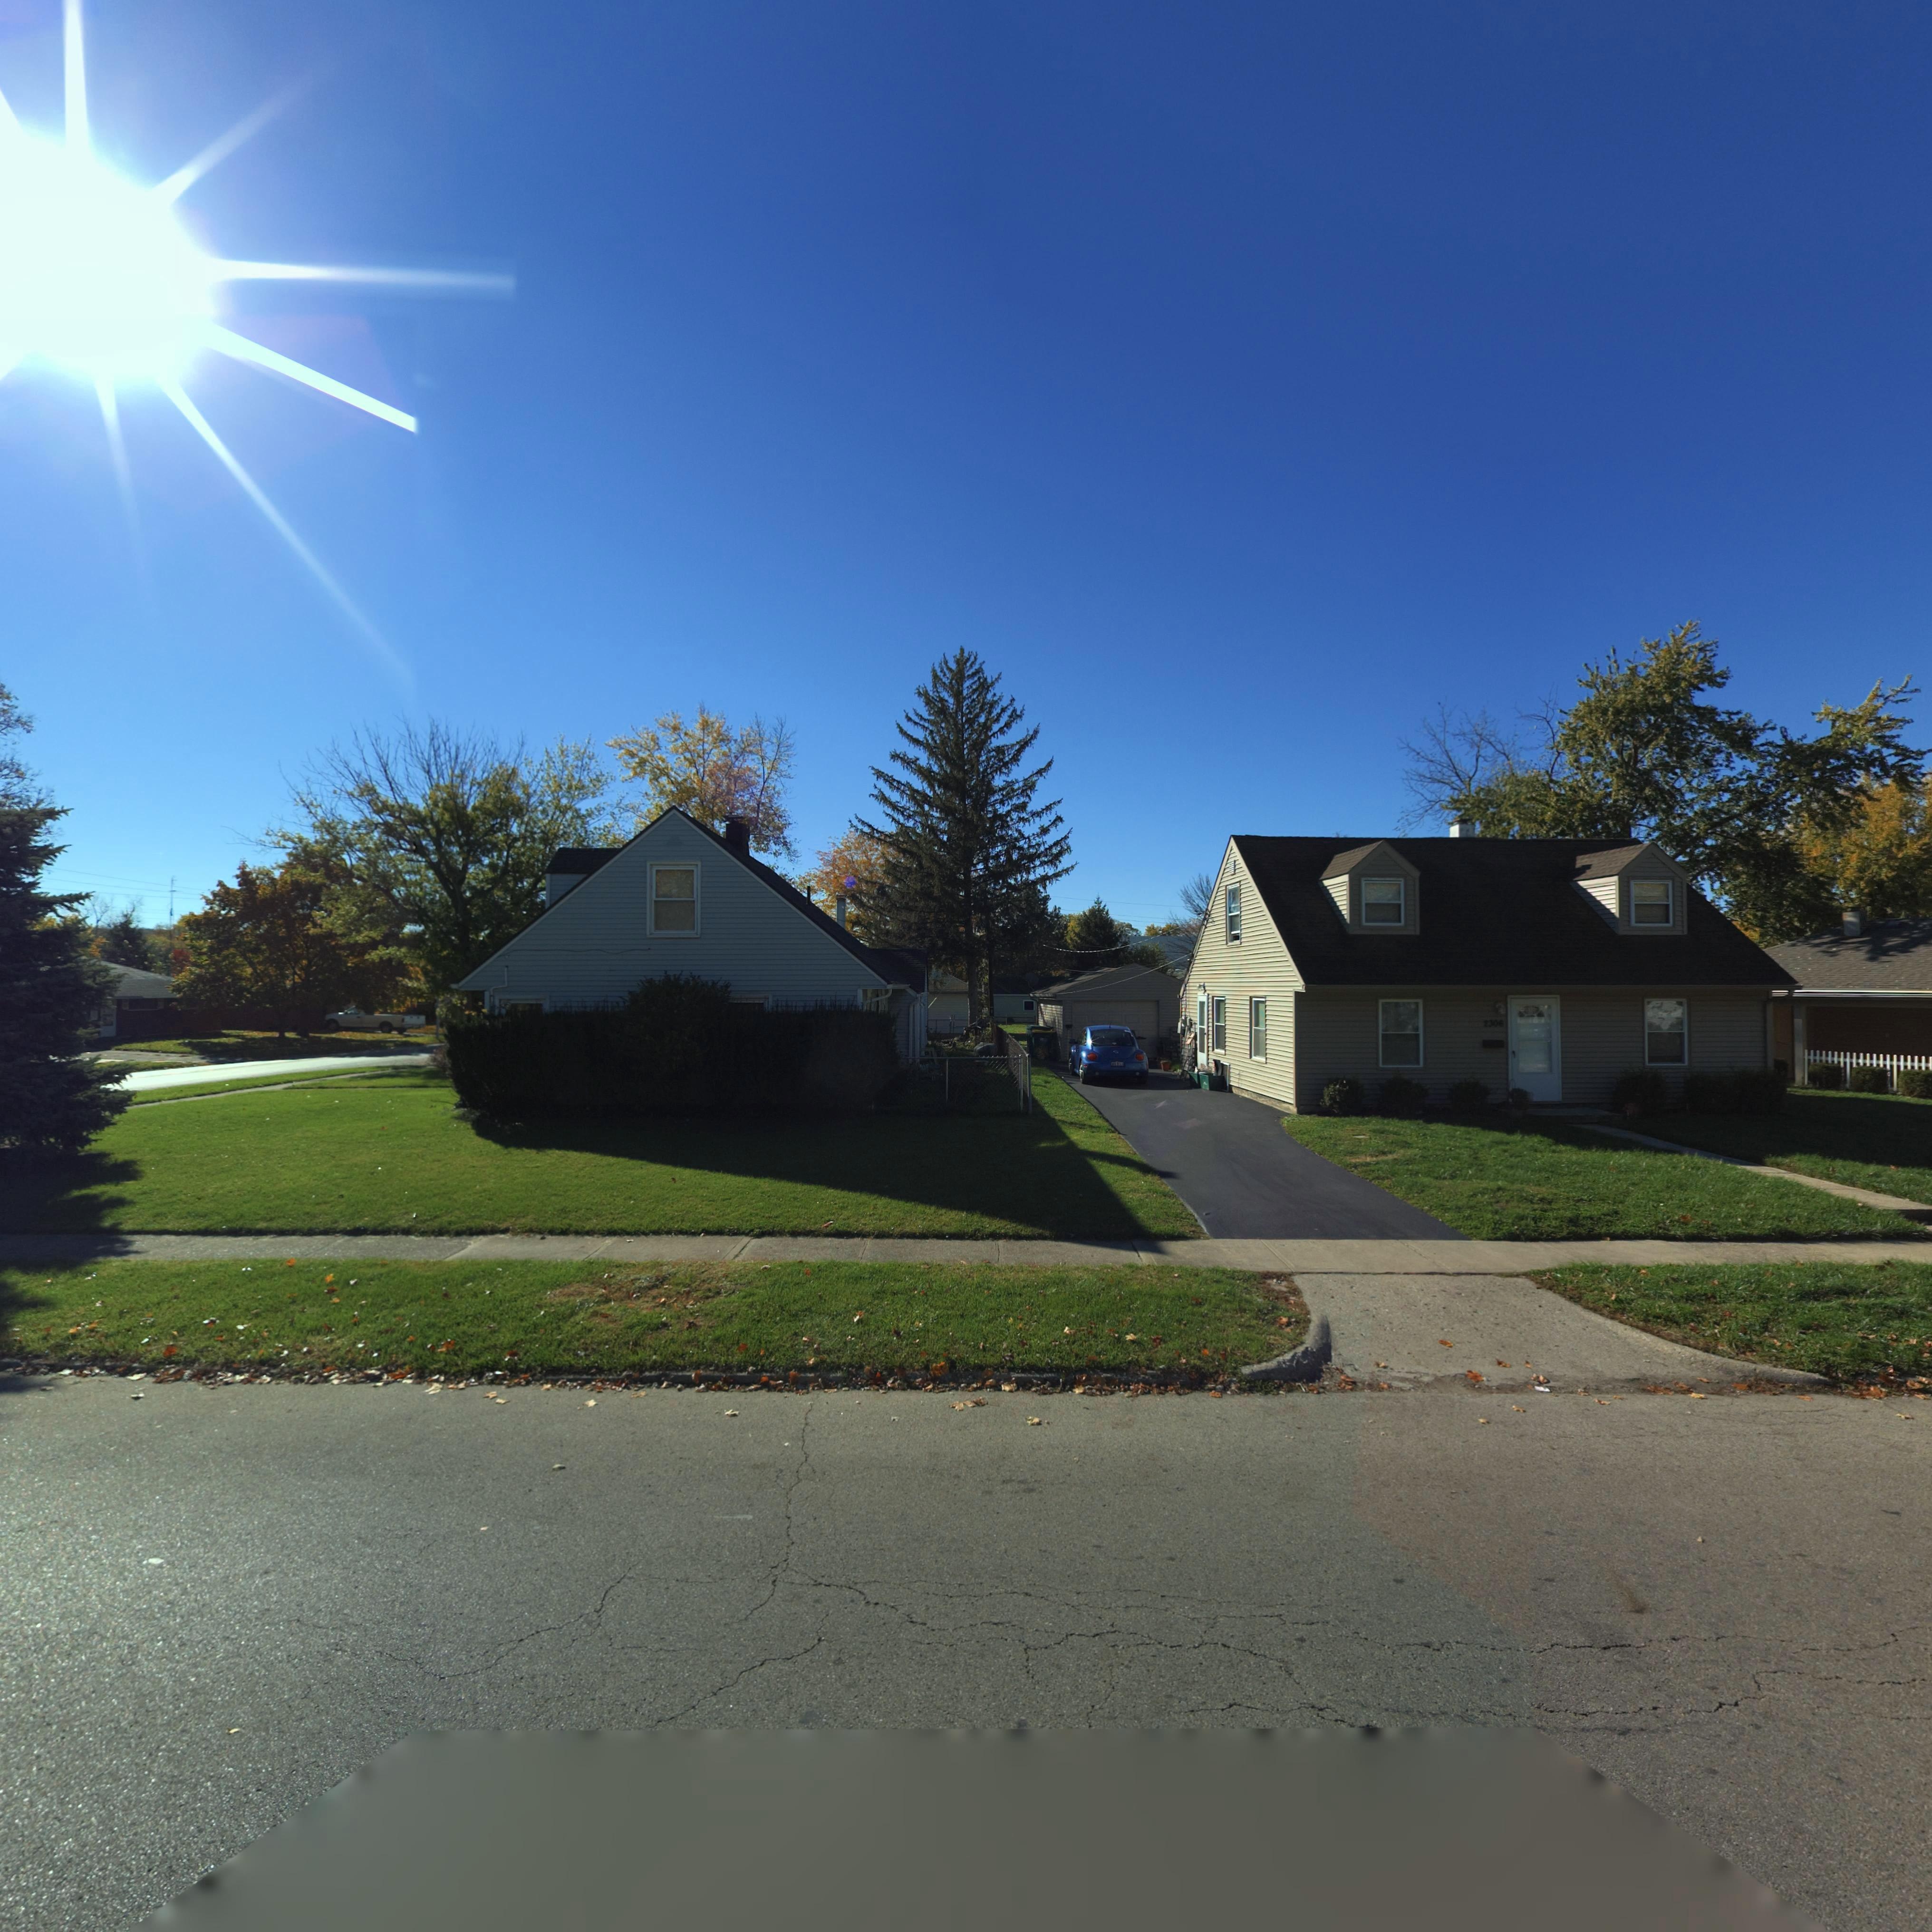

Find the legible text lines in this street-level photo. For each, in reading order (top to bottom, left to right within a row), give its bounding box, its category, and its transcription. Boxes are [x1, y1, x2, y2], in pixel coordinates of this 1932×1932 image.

[1483, 1019, 1505, 1027] StreetNumber: 2306